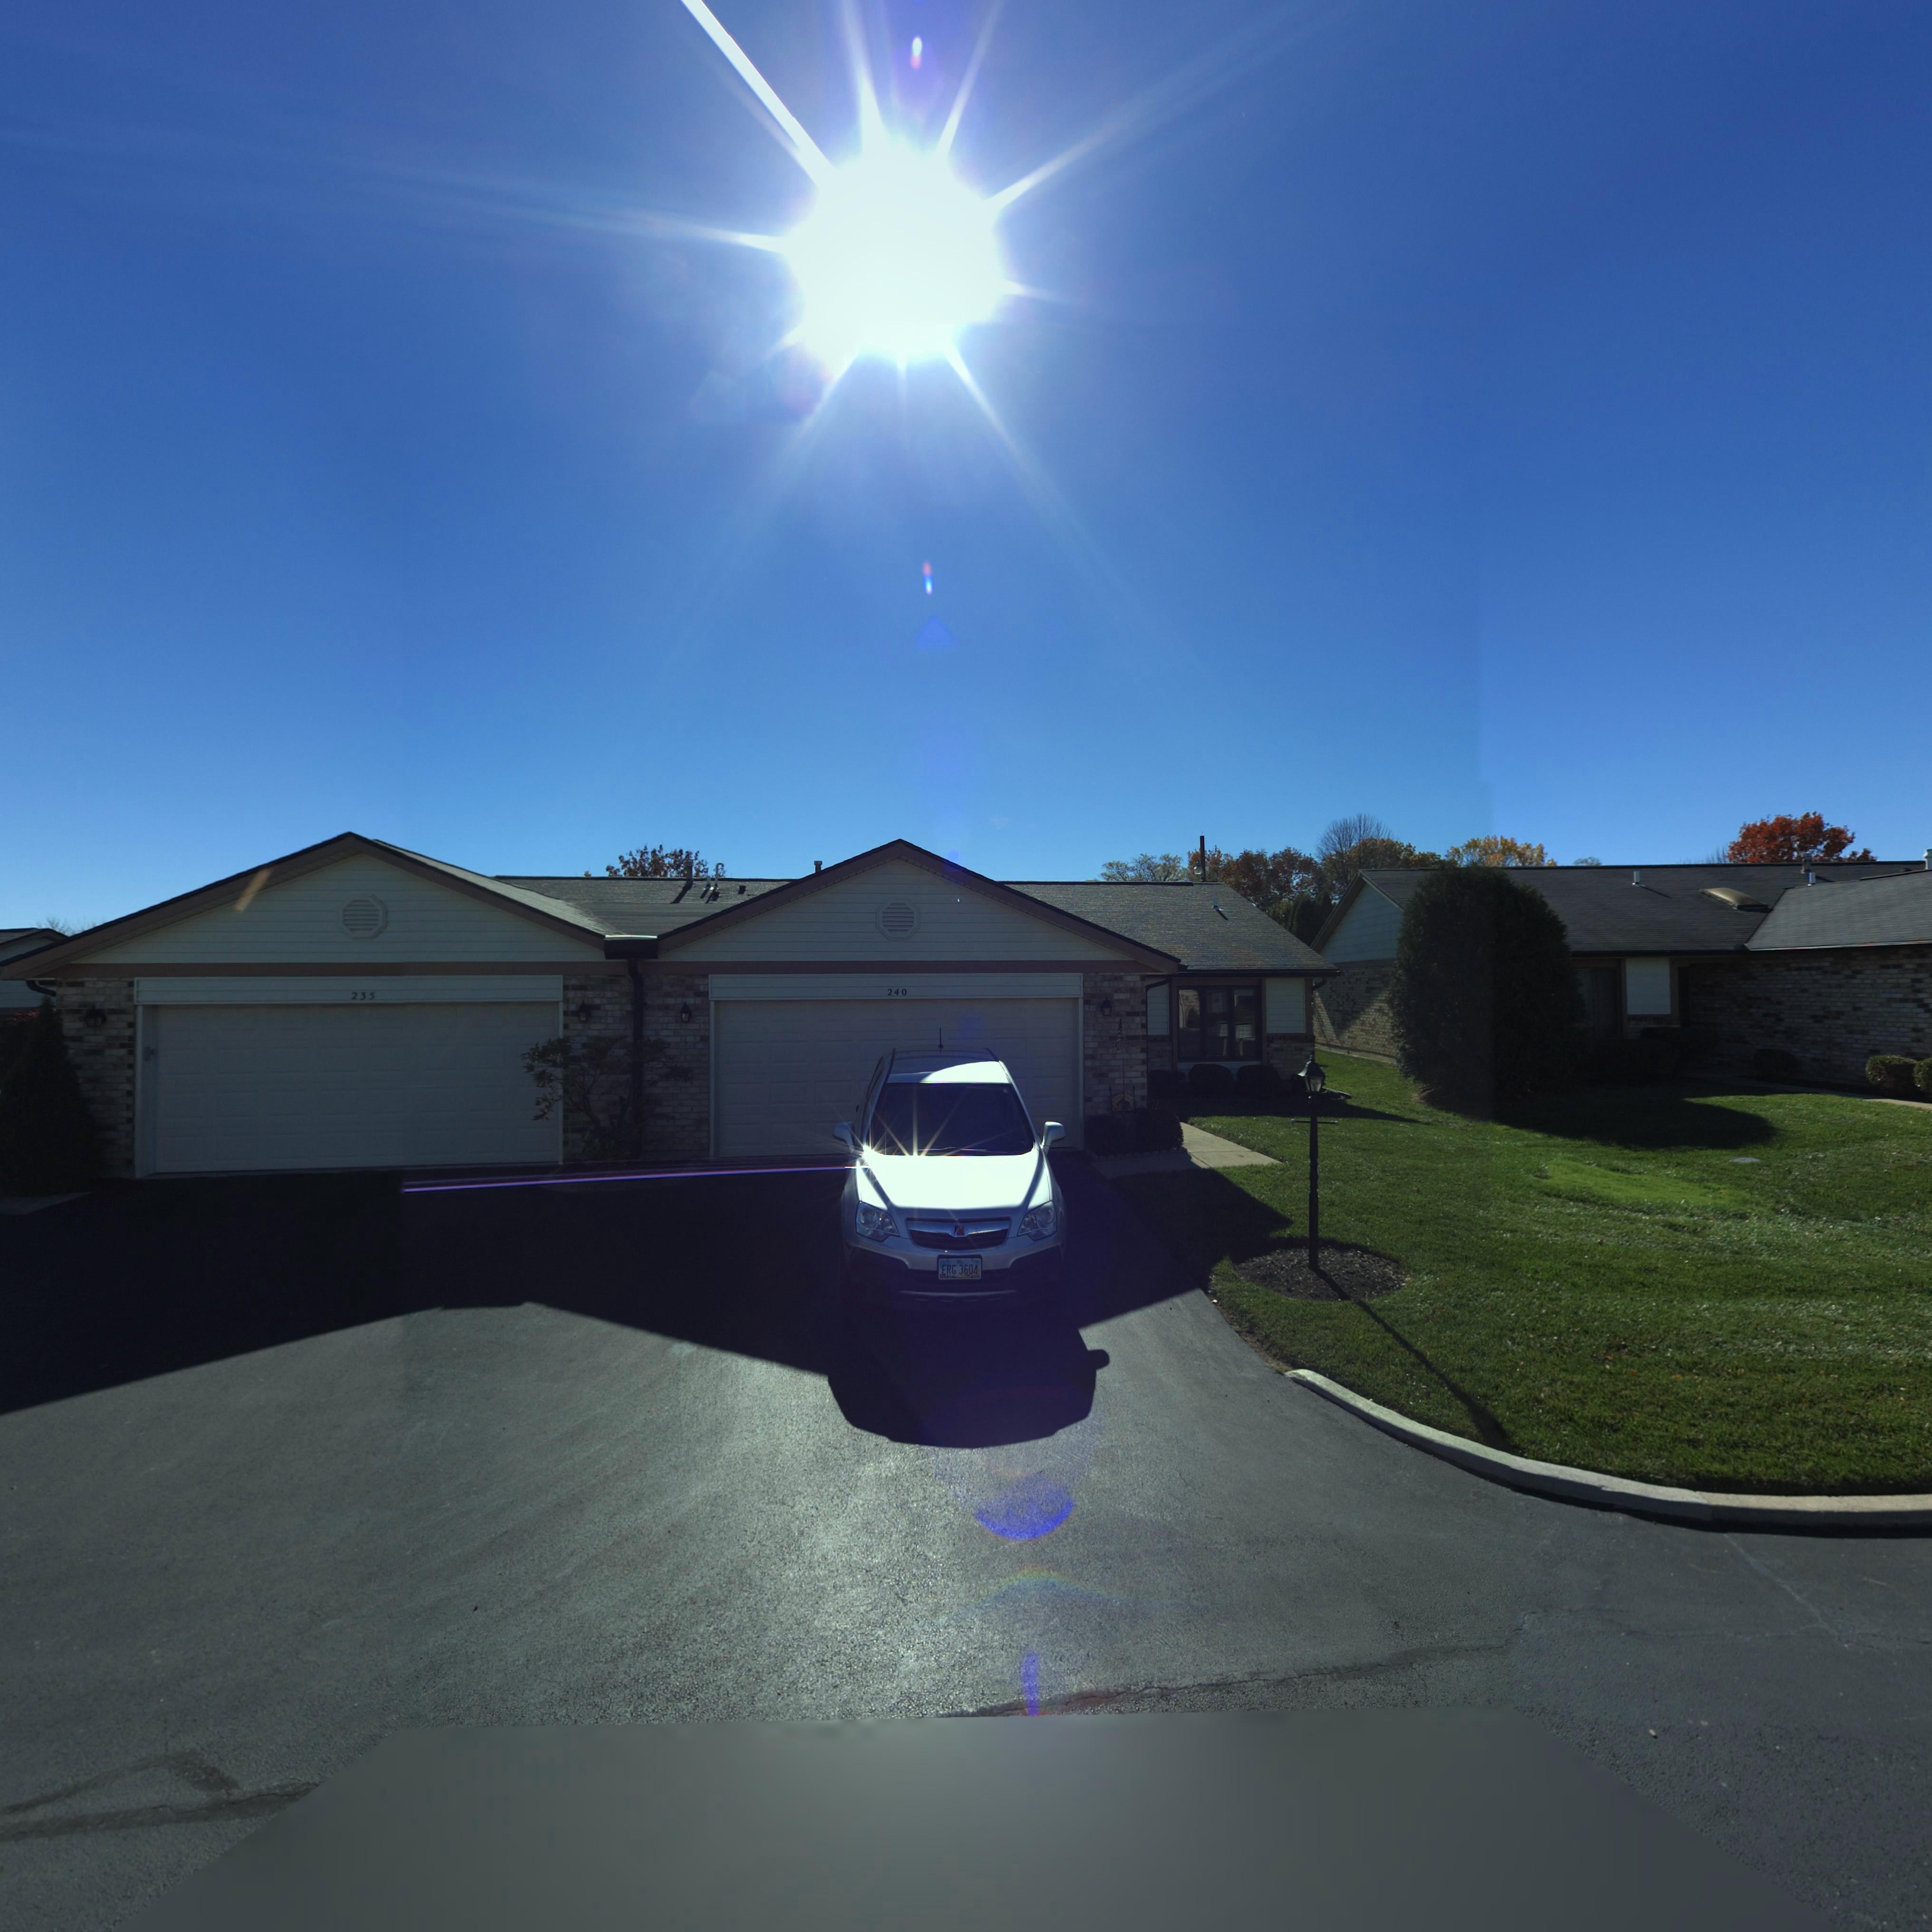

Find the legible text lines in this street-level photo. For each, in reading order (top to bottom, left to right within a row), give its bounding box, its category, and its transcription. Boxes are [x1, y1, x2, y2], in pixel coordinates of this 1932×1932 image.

[348, 990, 377, 1002] StreetNumber: 235
[885, 986, 908, 997] StreetNumber: 240